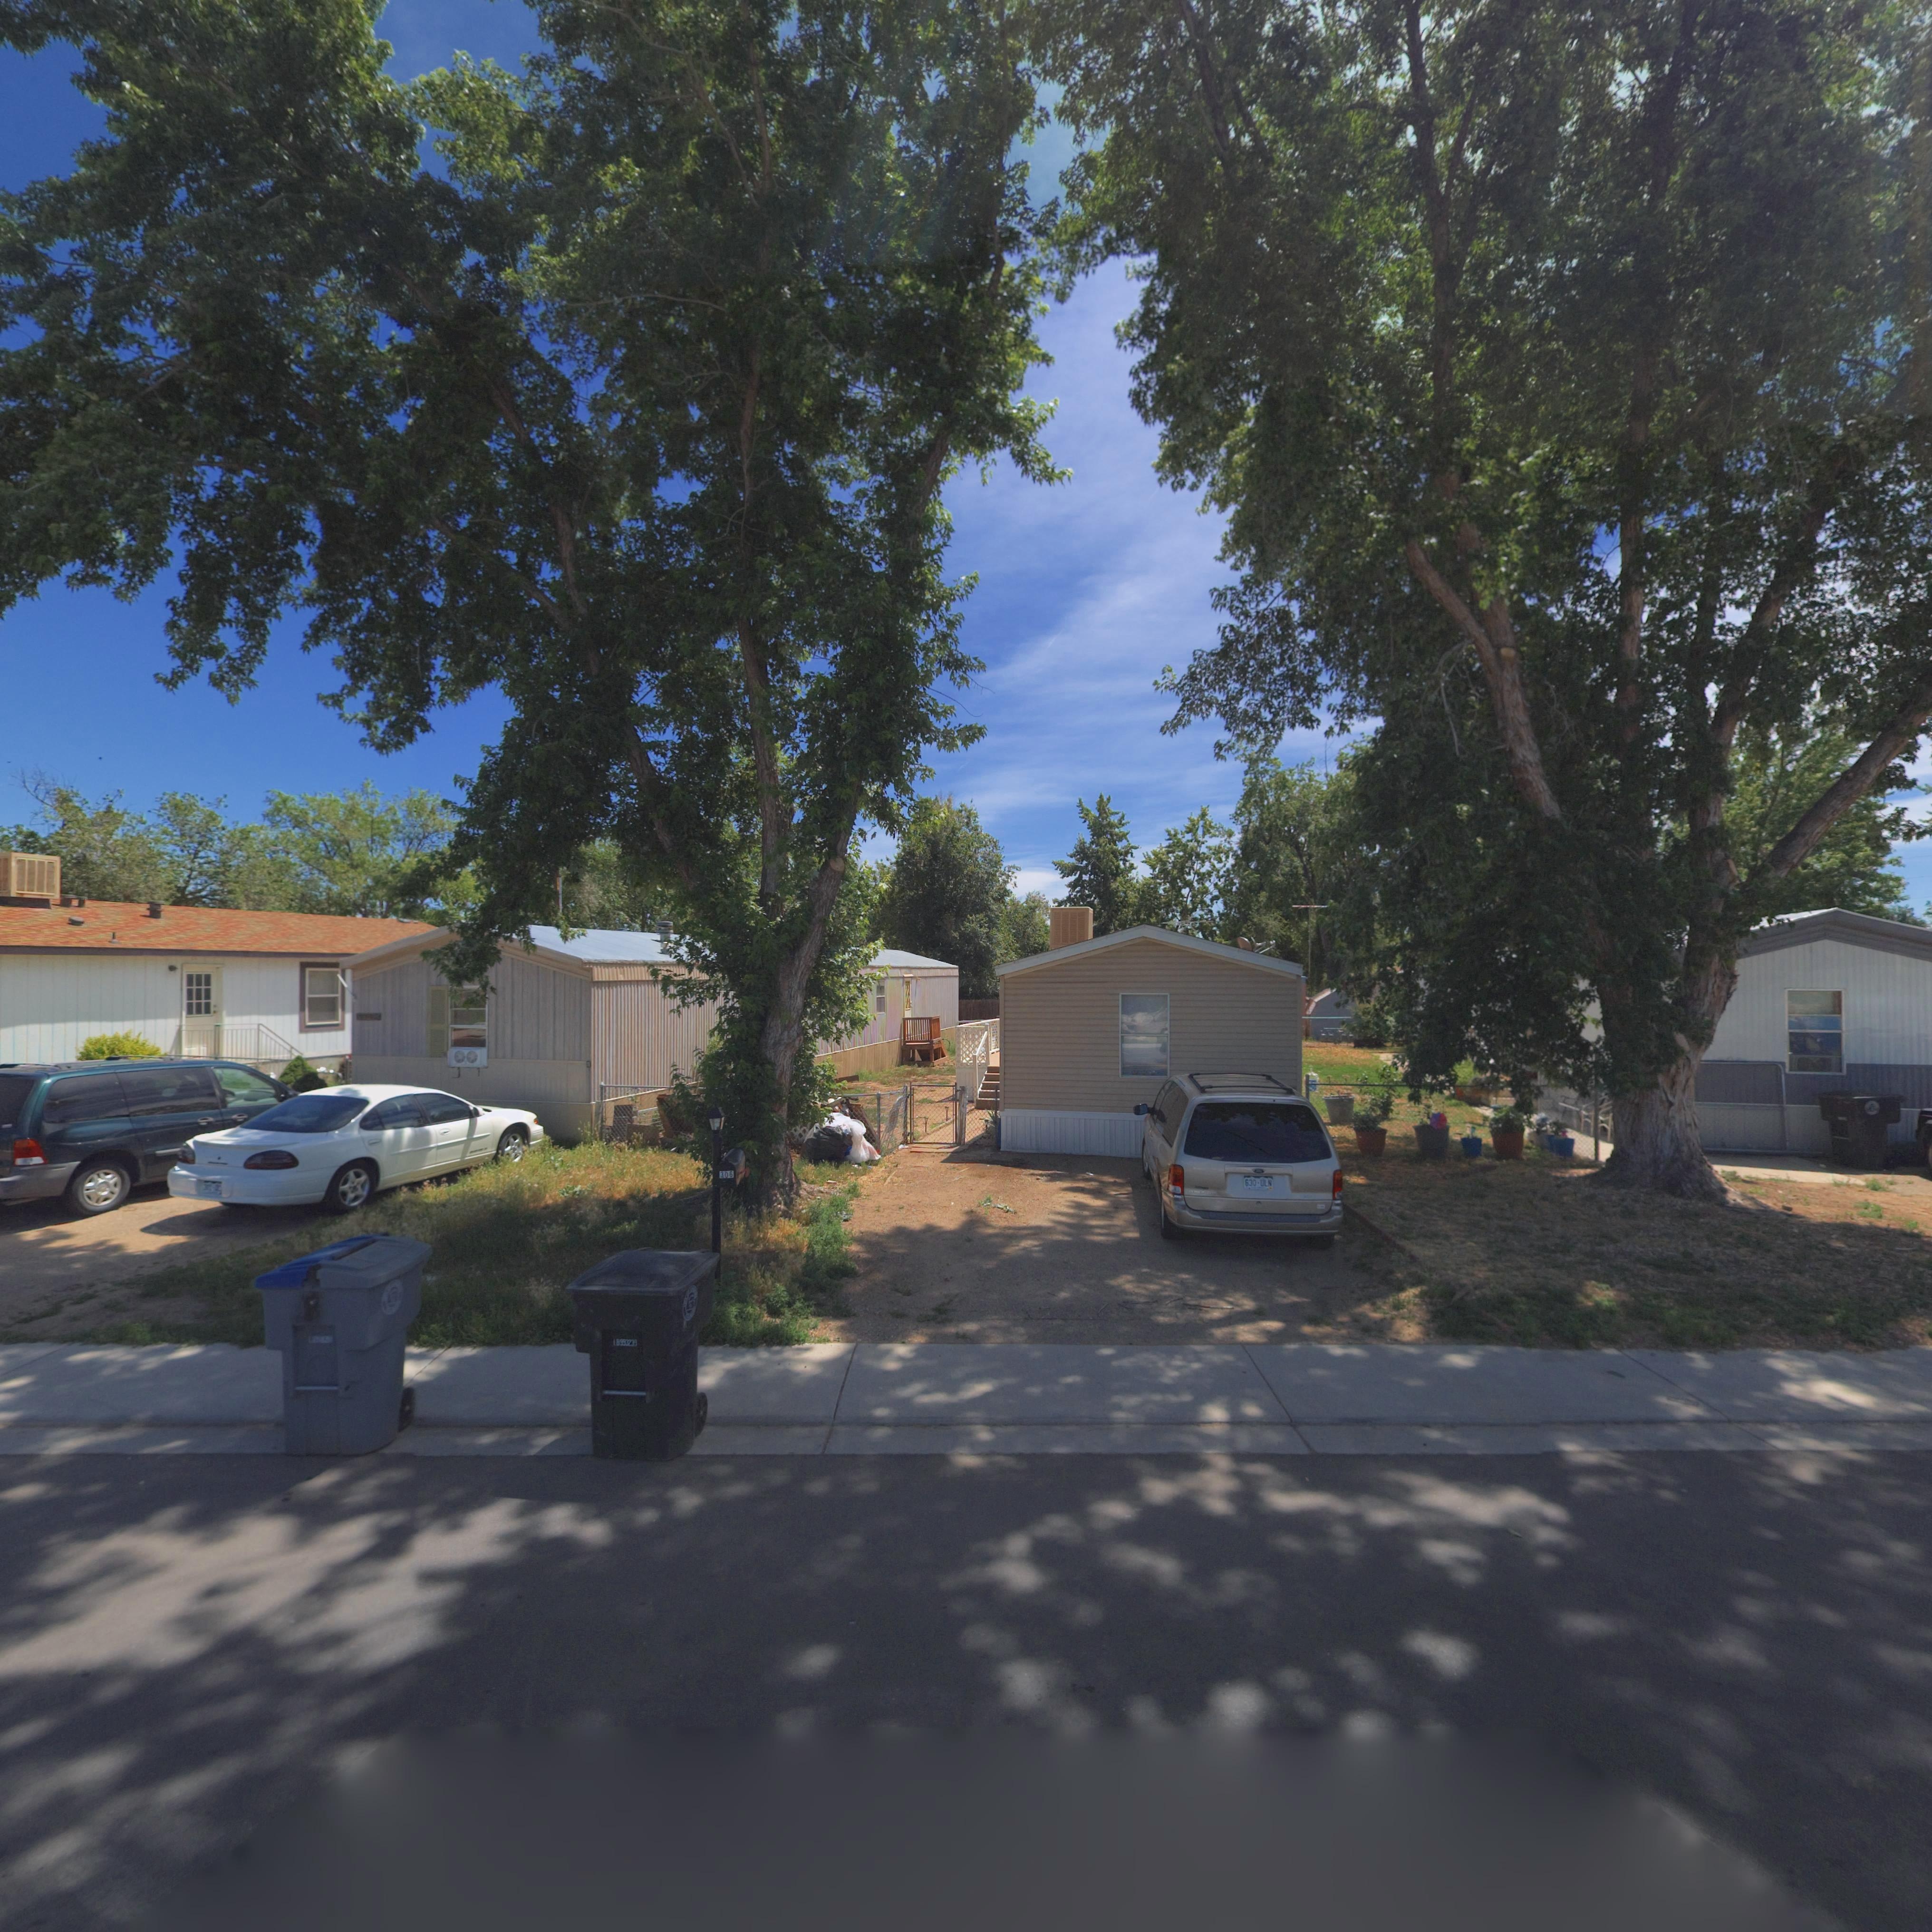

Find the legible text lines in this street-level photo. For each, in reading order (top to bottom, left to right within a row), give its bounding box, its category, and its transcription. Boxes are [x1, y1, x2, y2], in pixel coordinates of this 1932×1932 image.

[719, 1170, 734, 1179] StreetNumber: 306